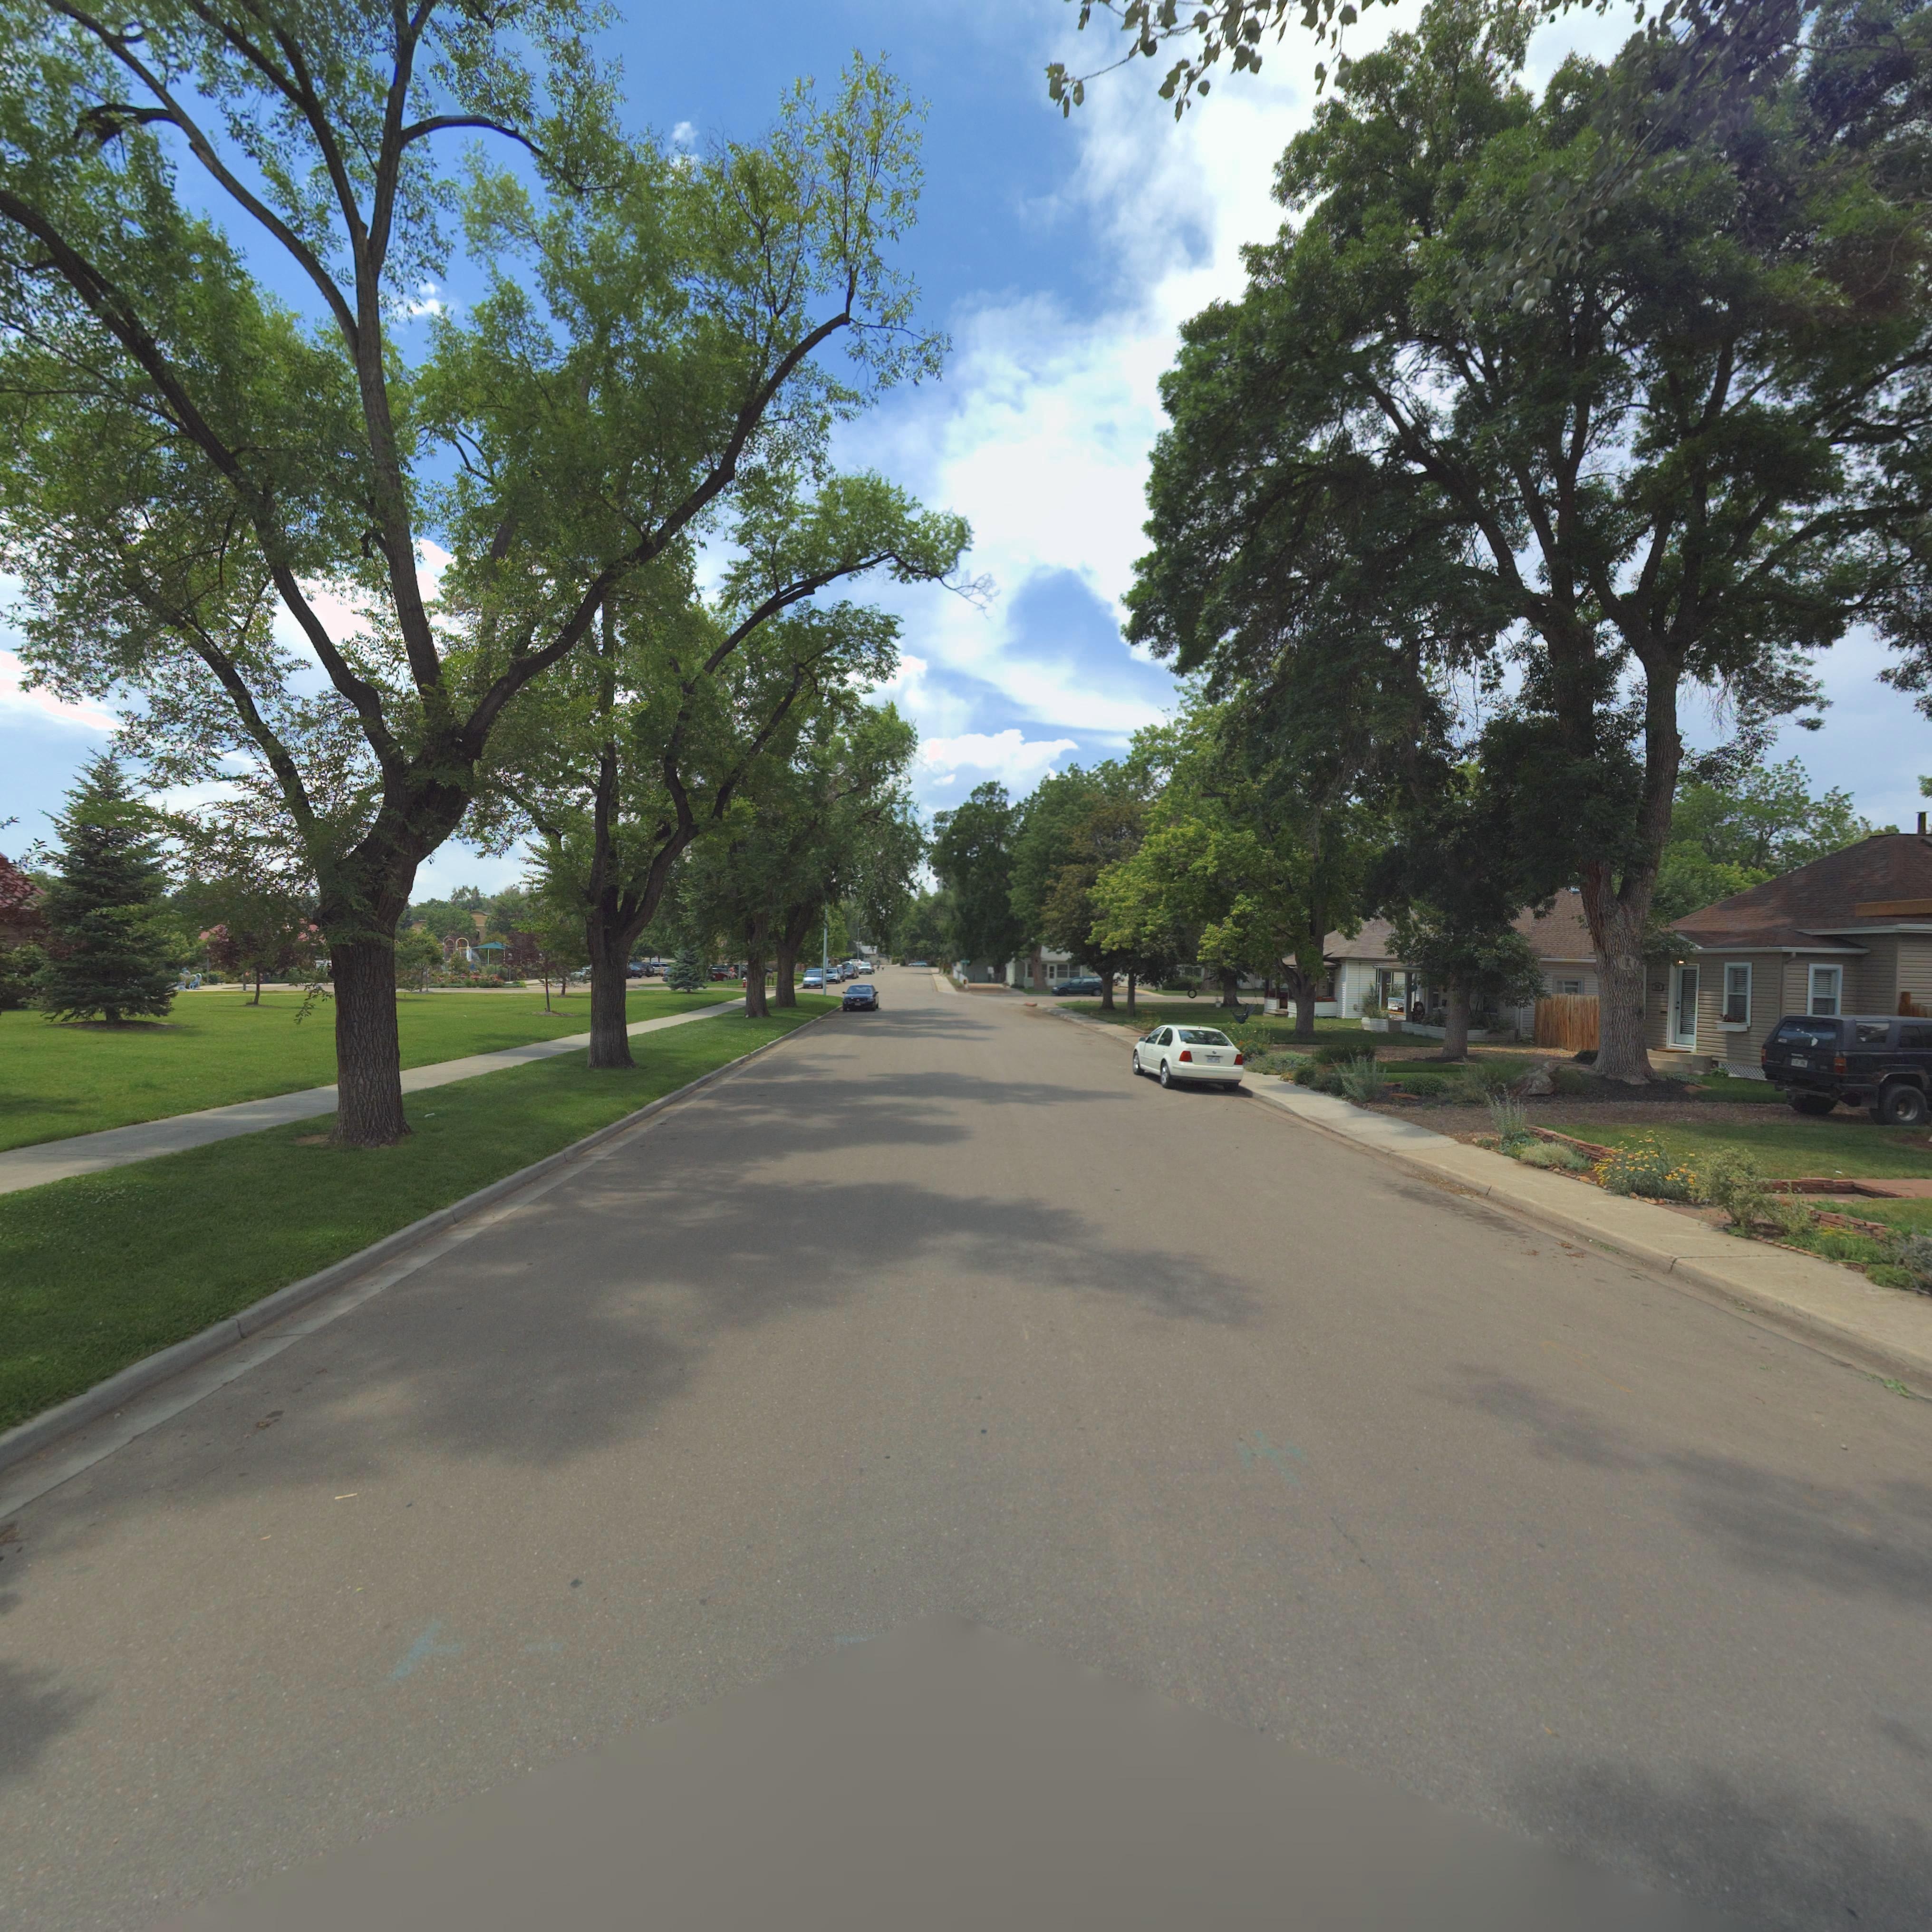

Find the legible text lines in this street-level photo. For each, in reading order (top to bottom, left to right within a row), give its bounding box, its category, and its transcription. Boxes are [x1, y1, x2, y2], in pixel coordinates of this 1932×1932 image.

[1654, 984, 1660, 989] StreetNumber: **4